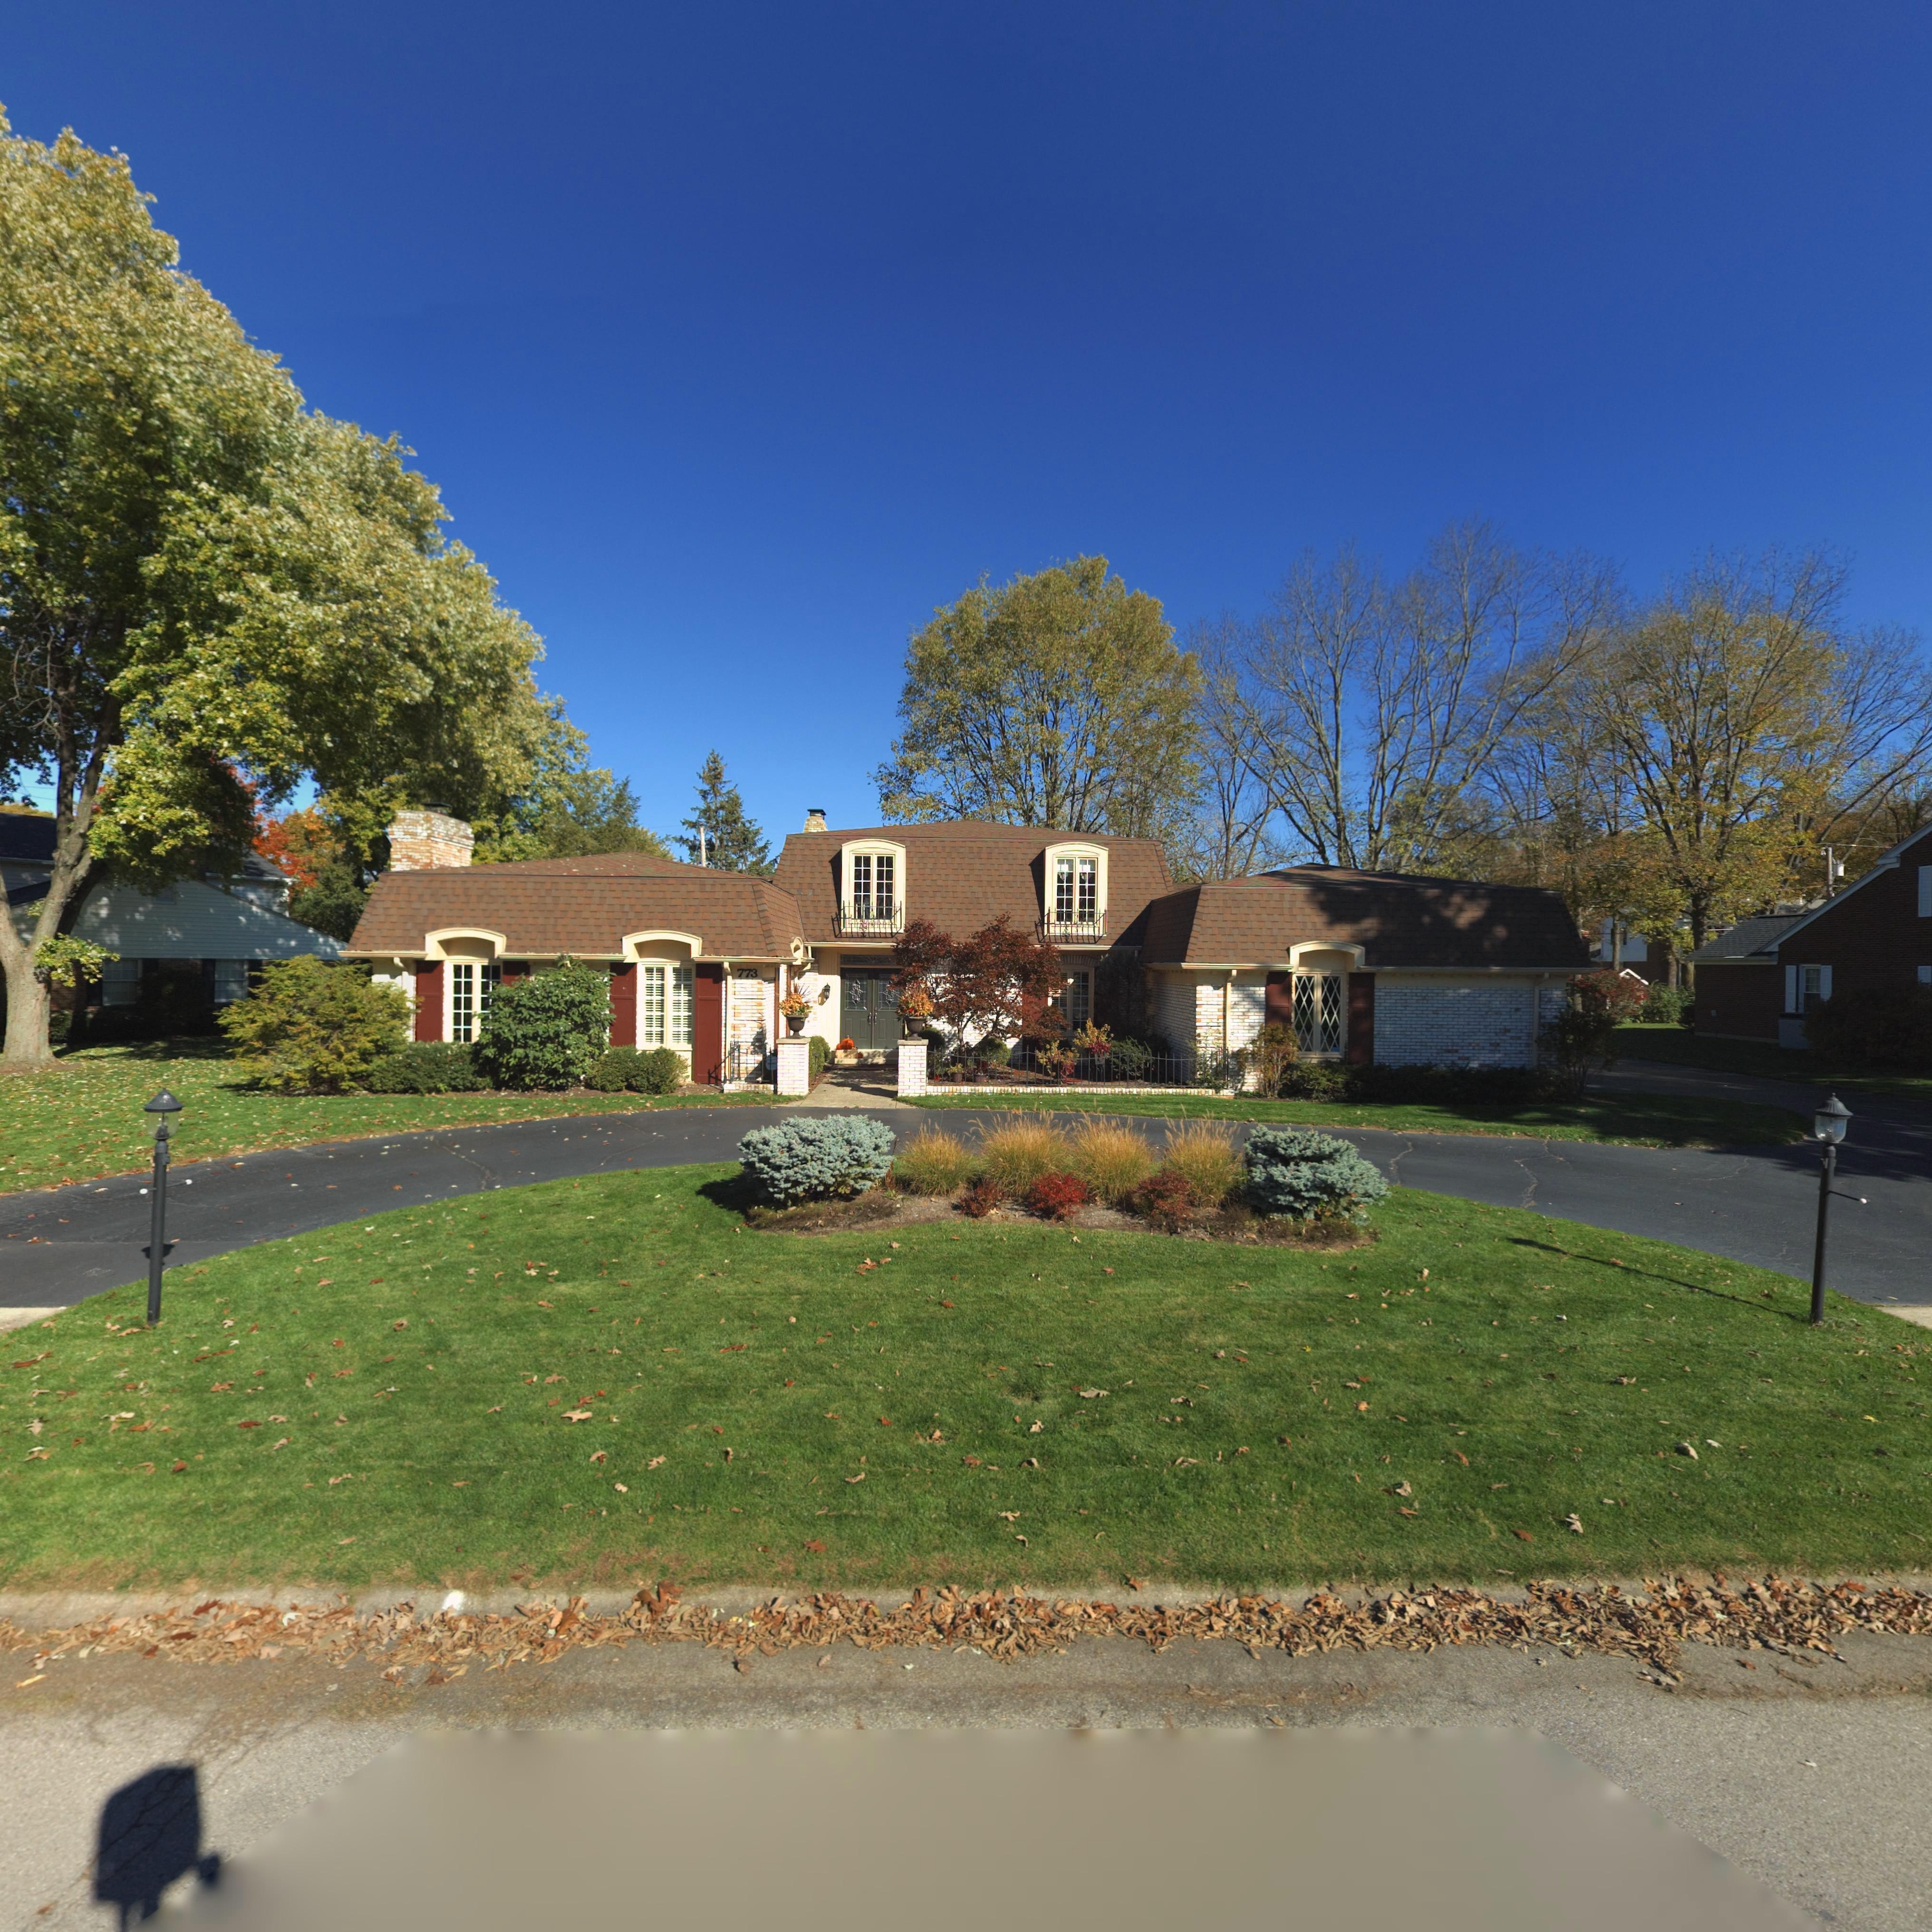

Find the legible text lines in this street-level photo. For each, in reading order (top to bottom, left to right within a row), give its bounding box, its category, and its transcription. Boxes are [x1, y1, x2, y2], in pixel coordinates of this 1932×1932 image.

[735, 967, 759, 978] StreetNumber: 773